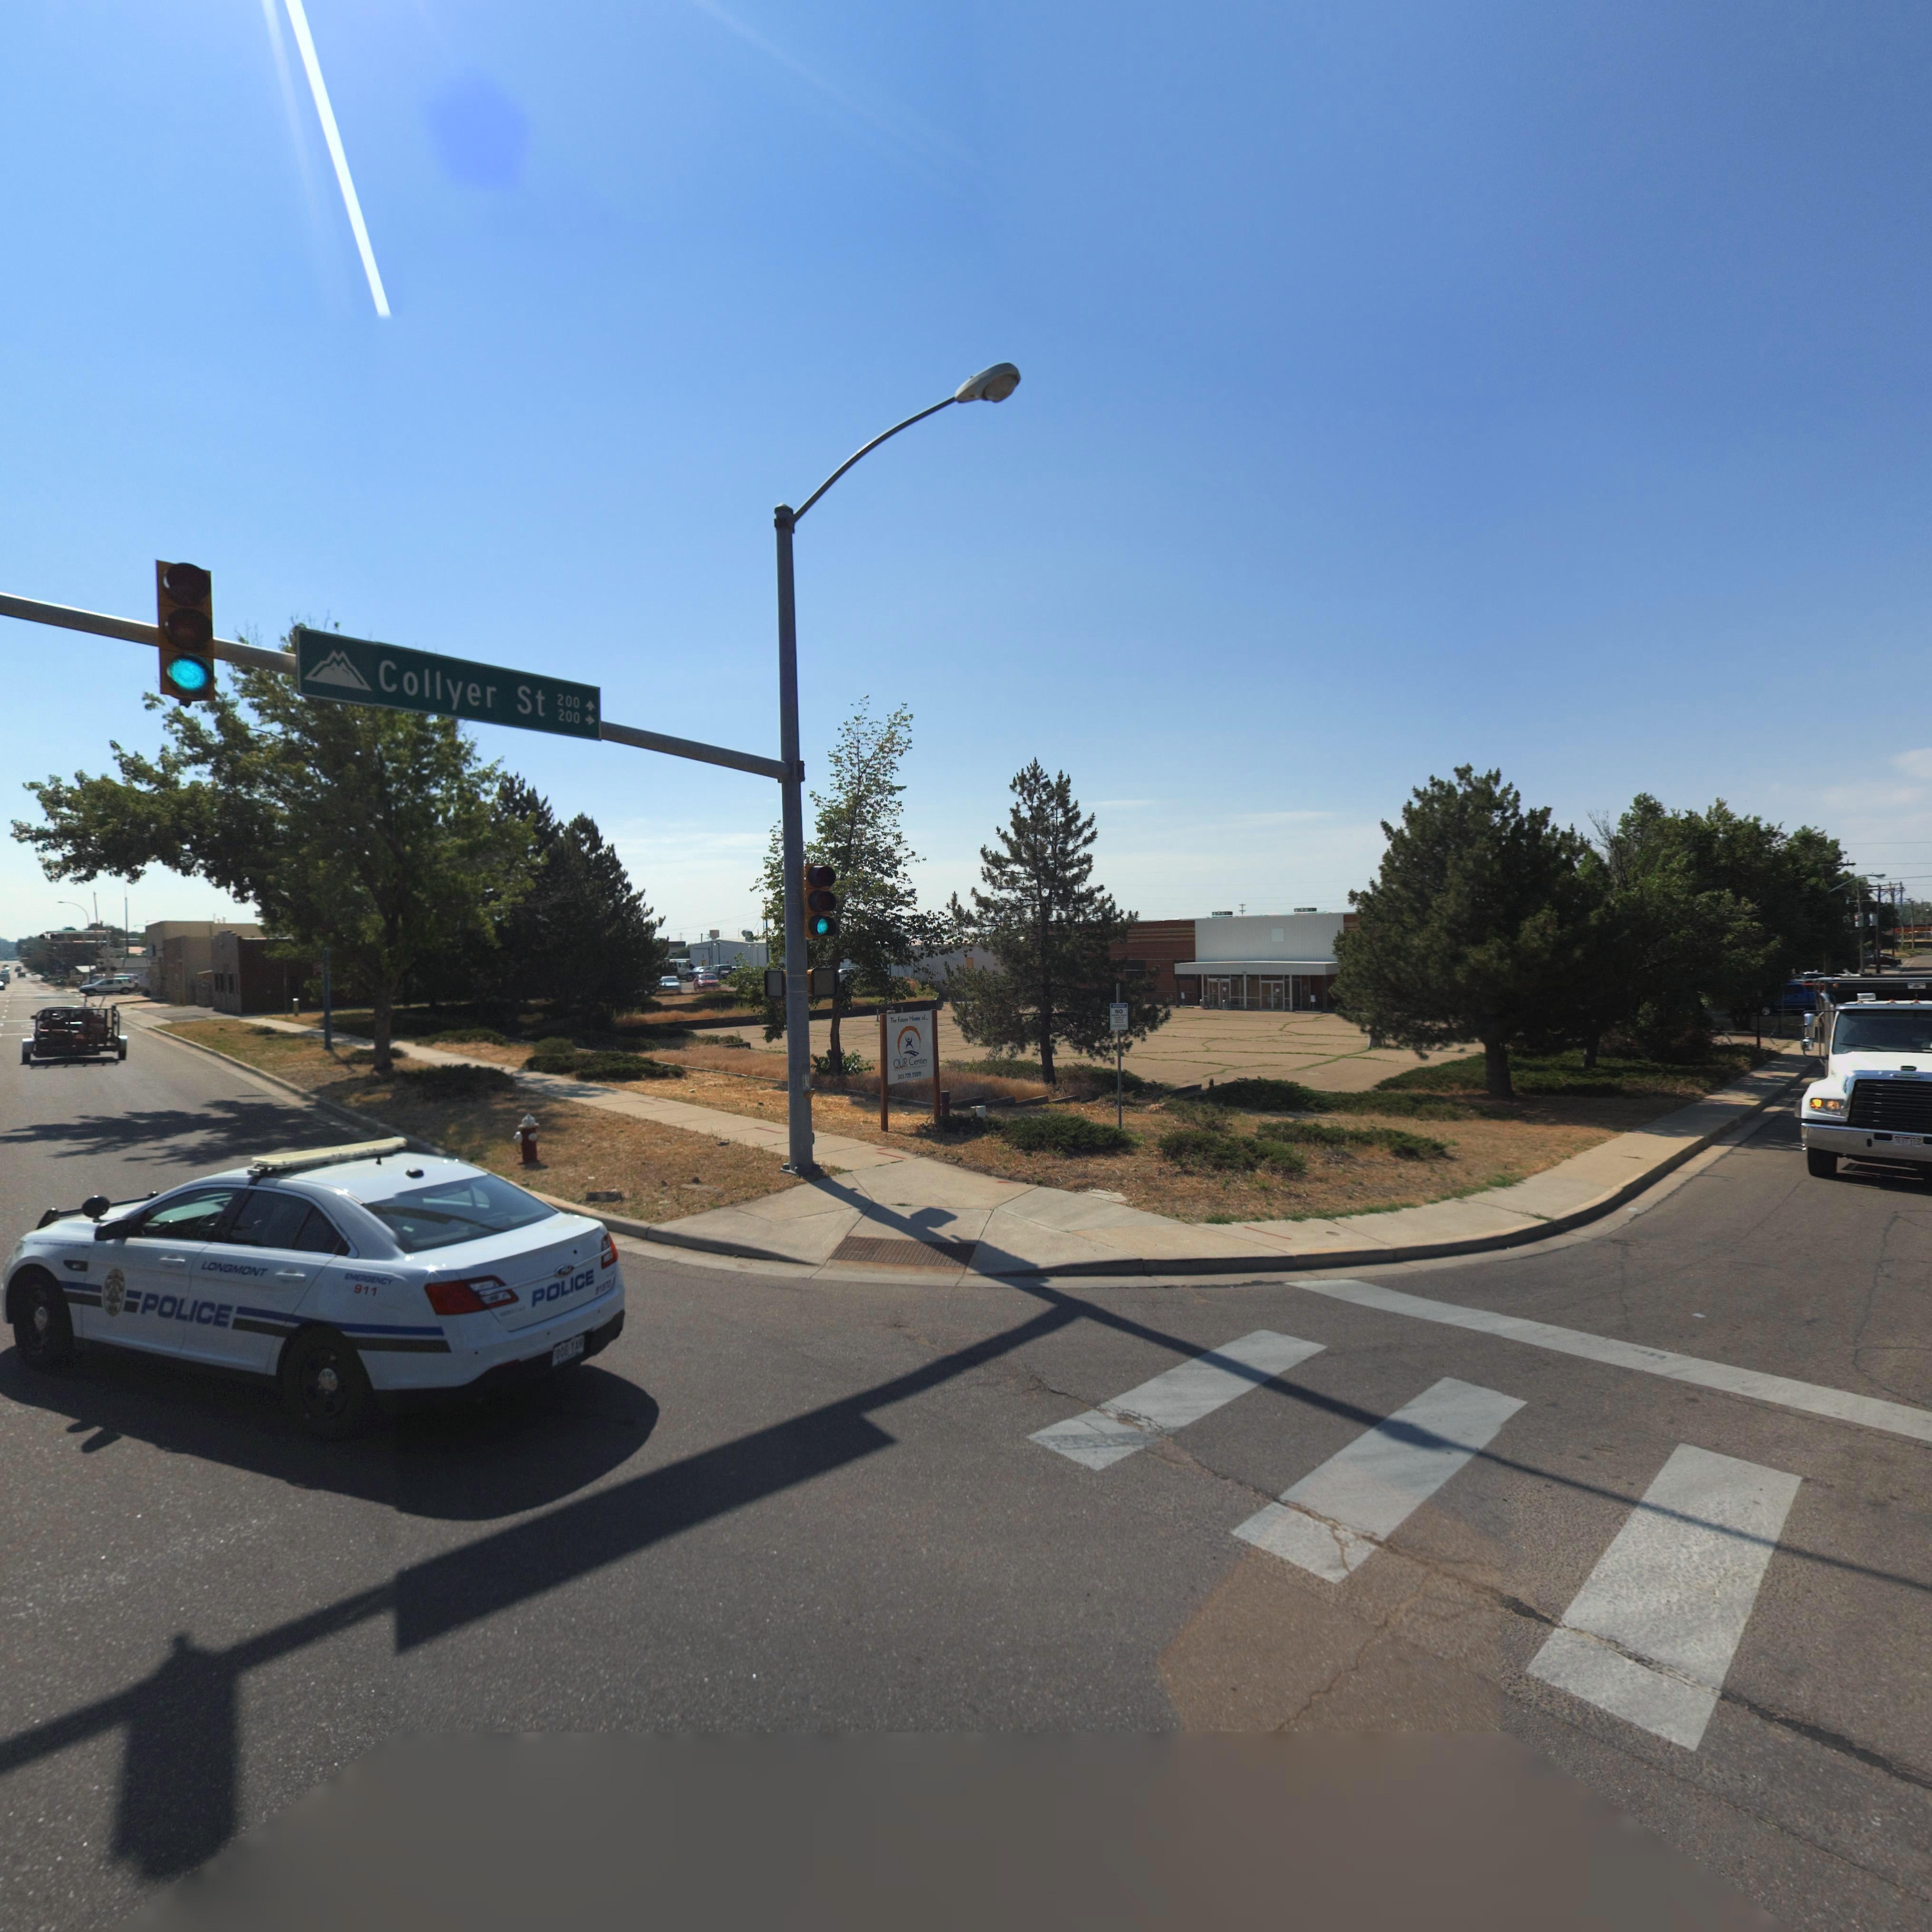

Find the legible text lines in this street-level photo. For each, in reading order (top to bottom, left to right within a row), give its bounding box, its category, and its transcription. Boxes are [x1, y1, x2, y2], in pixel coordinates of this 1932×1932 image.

[377, 658, 546, 717] StreetName: Collyer St
[556, 692, 580, 708] StreetNumberRange: 200
[557, 708, 595, 725] StreetNumberRange: 200->
[893, 1055, 928, 1068] BusinessName: OUR Center